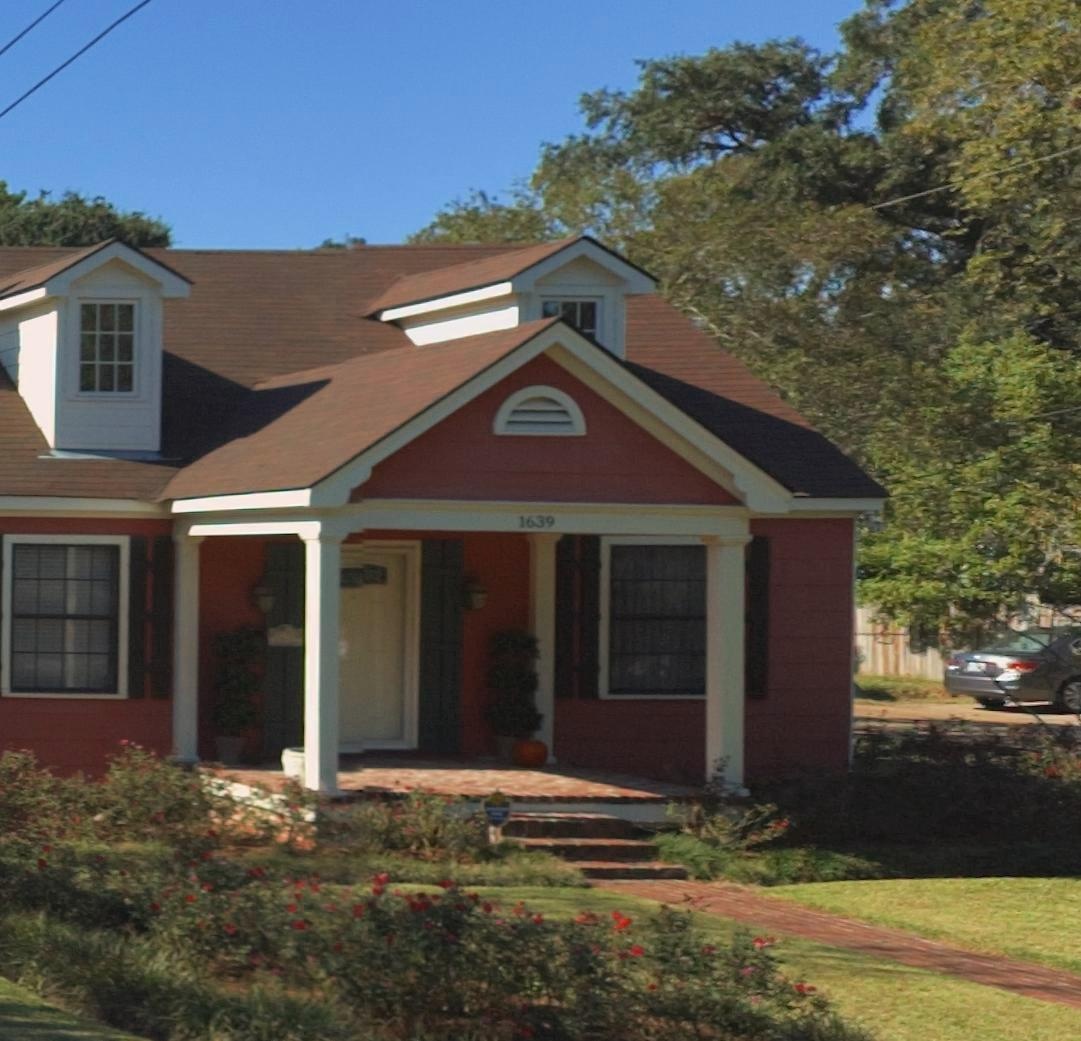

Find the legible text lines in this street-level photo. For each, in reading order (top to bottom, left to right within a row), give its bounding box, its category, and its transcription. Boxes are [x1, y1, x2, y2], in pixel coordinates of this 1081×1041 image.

[516, 512, 557, 530] StreetNumber: 1639